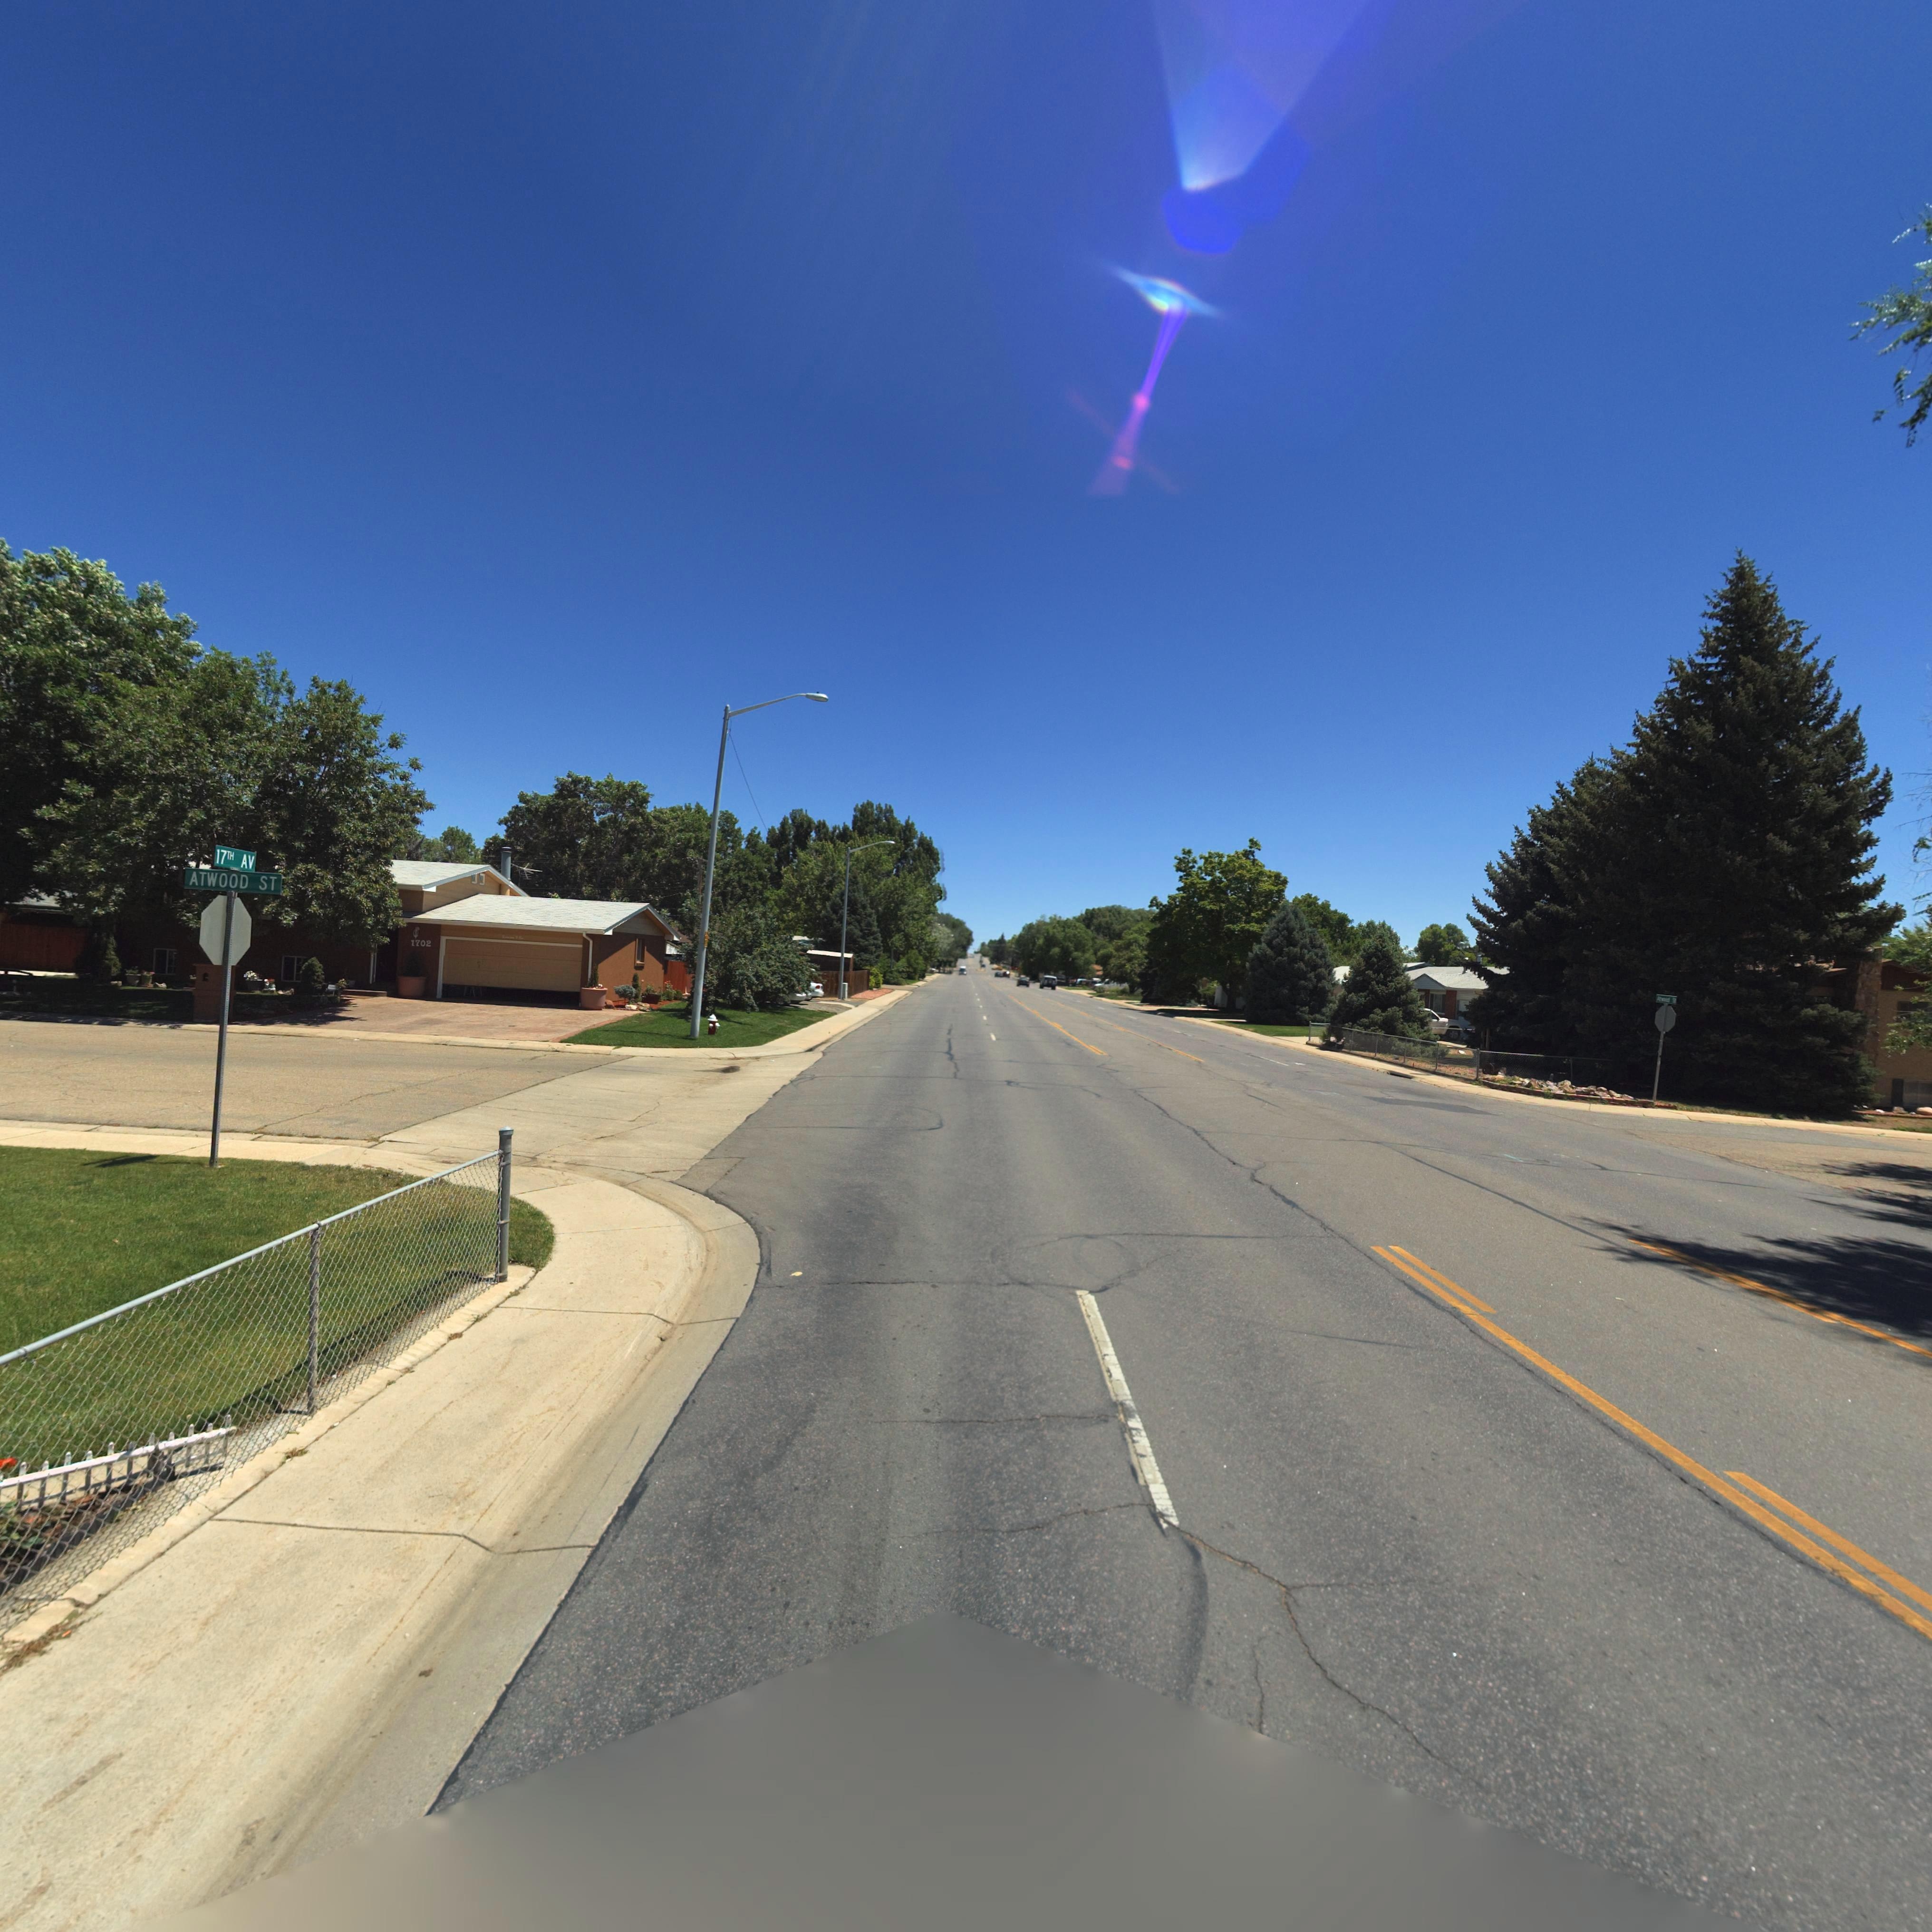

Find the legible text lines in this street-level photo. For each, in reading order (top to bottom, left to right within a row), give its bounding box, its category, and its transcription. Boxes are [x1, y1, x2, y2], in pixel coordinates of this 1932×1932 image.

[216, 848, 255, 869] StreetName: 17TH AV
[188, 871, 278, 890] StreetName: ATWOOD
[411, 939, 431, 947] StreetNumber: 1702
[1656, 995, 1676, 1003] StreetName: **wood St